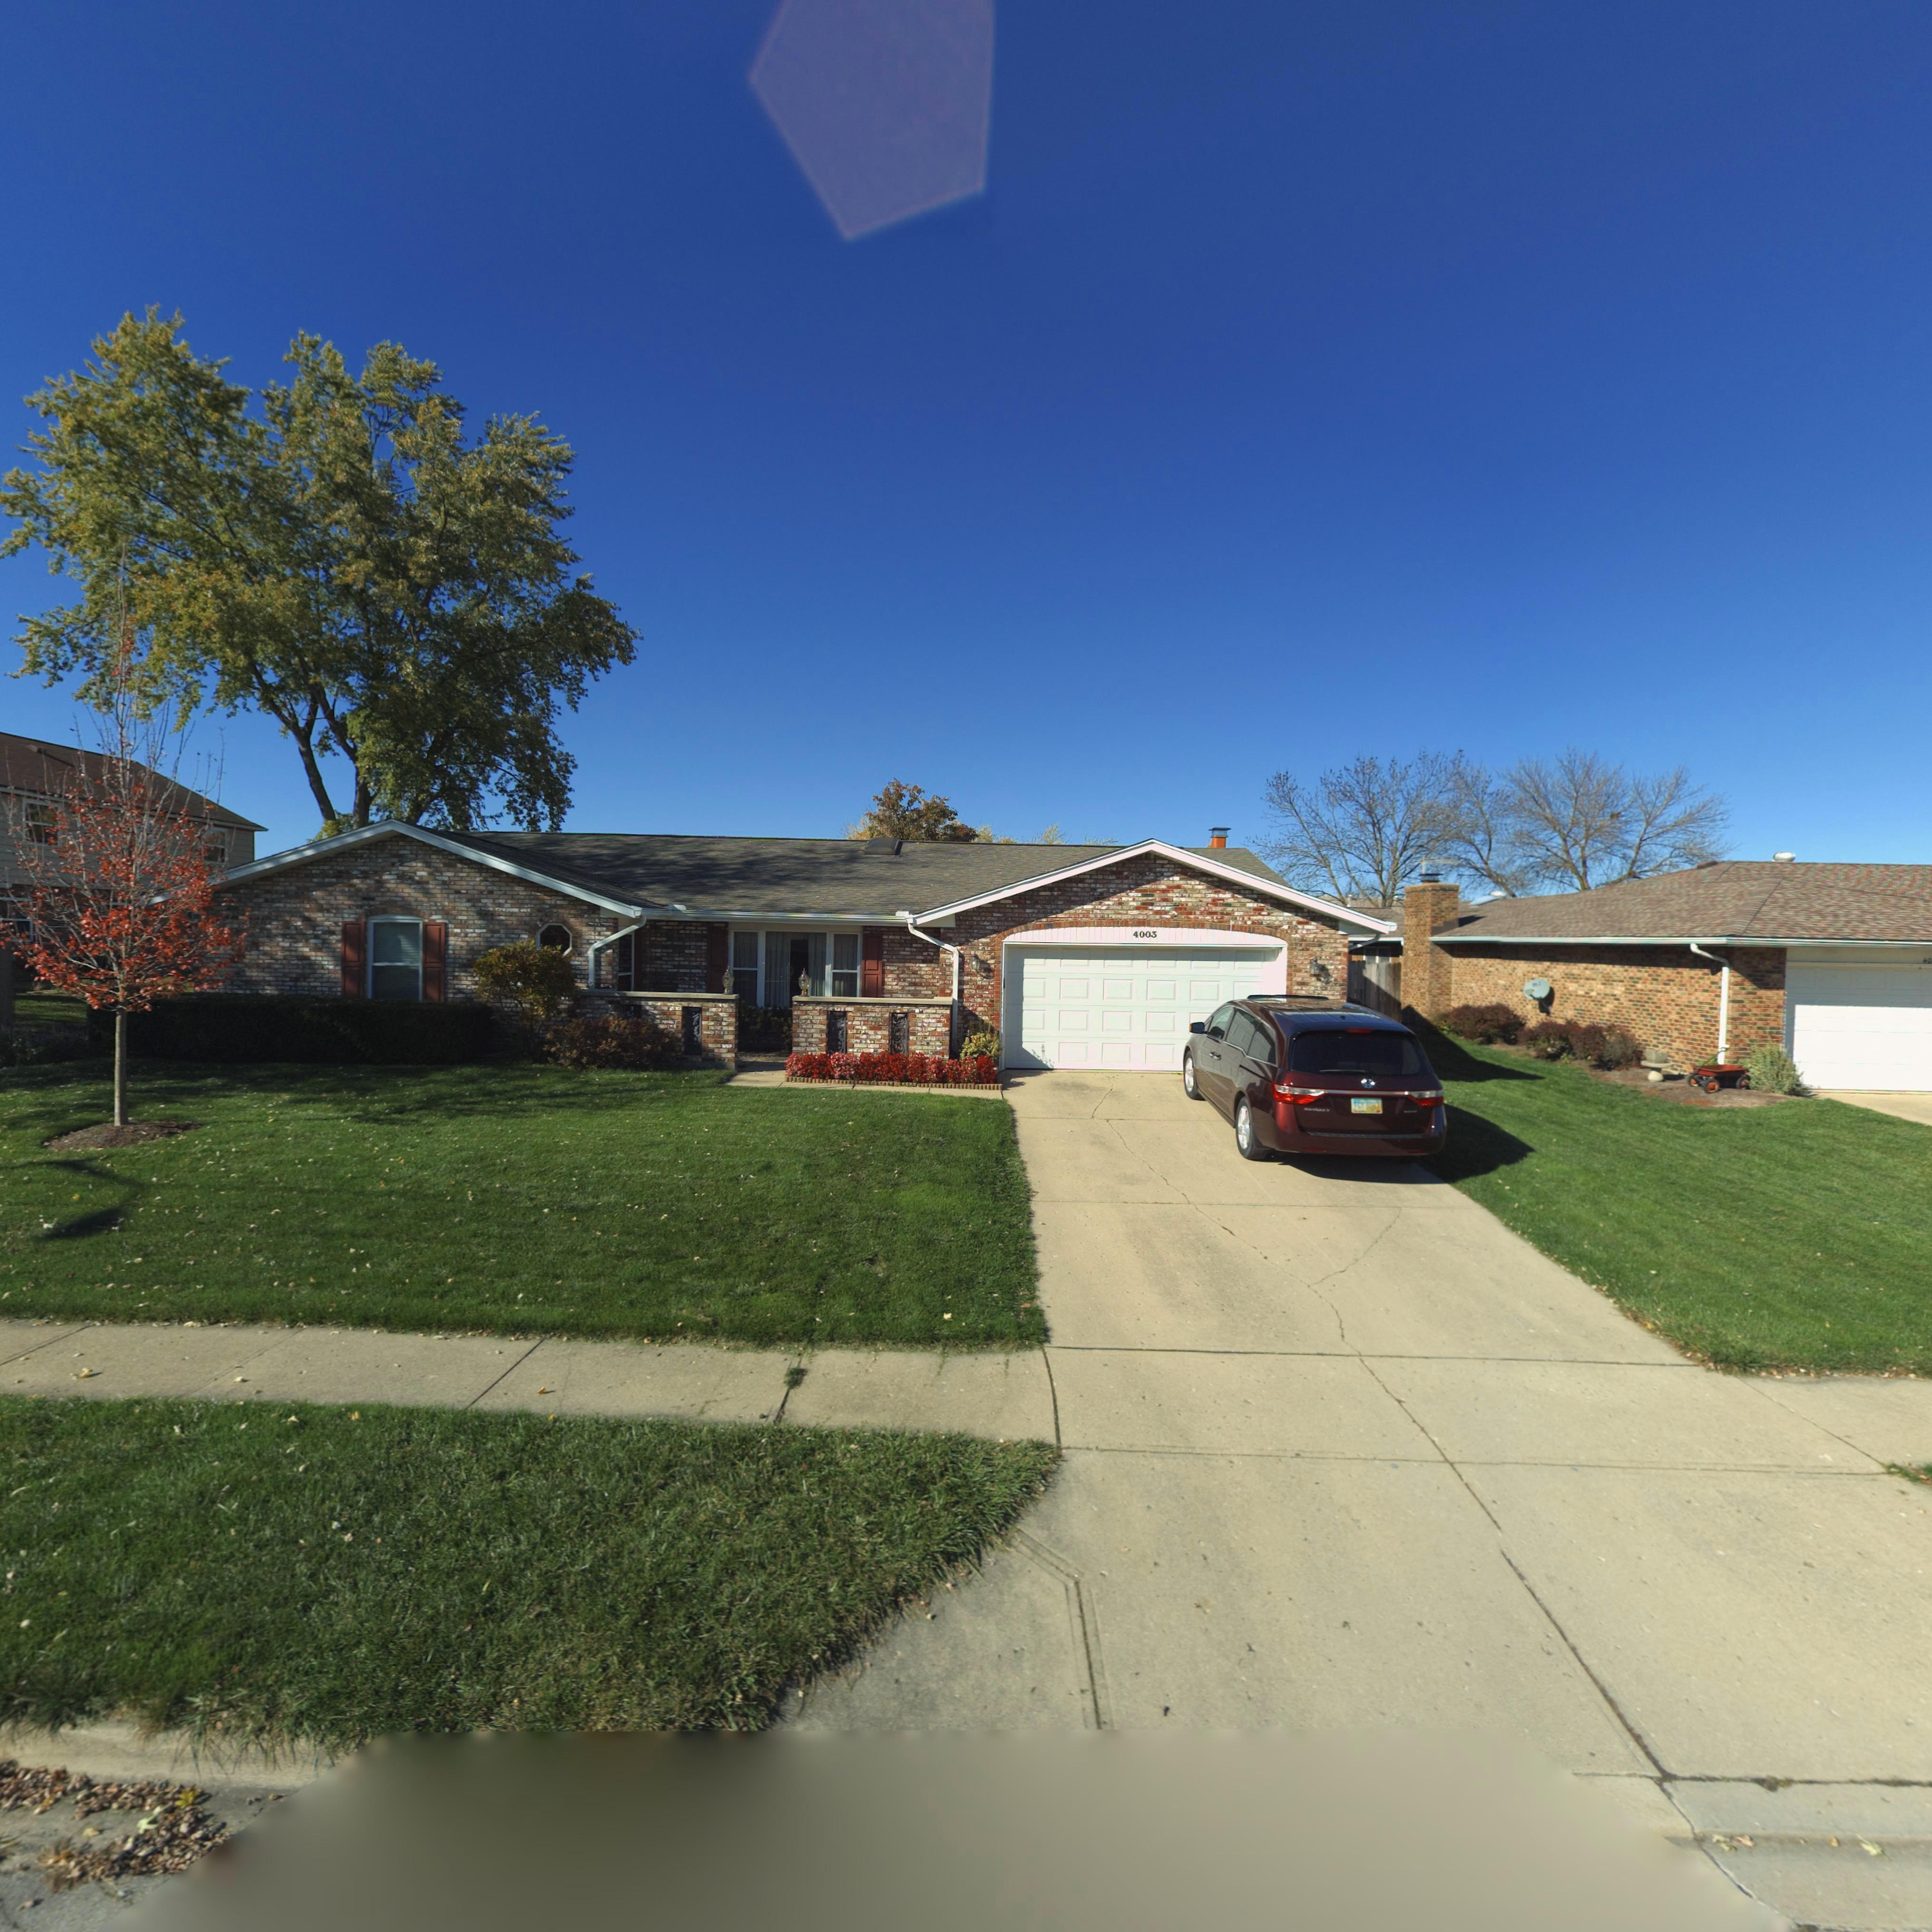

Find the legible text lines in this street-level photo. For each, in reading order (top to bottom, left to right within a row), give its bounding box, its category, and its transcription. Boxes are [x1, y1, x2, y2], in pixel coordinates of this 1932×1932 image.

[1132, 930, 1157, 938] StreetNumber: 4003